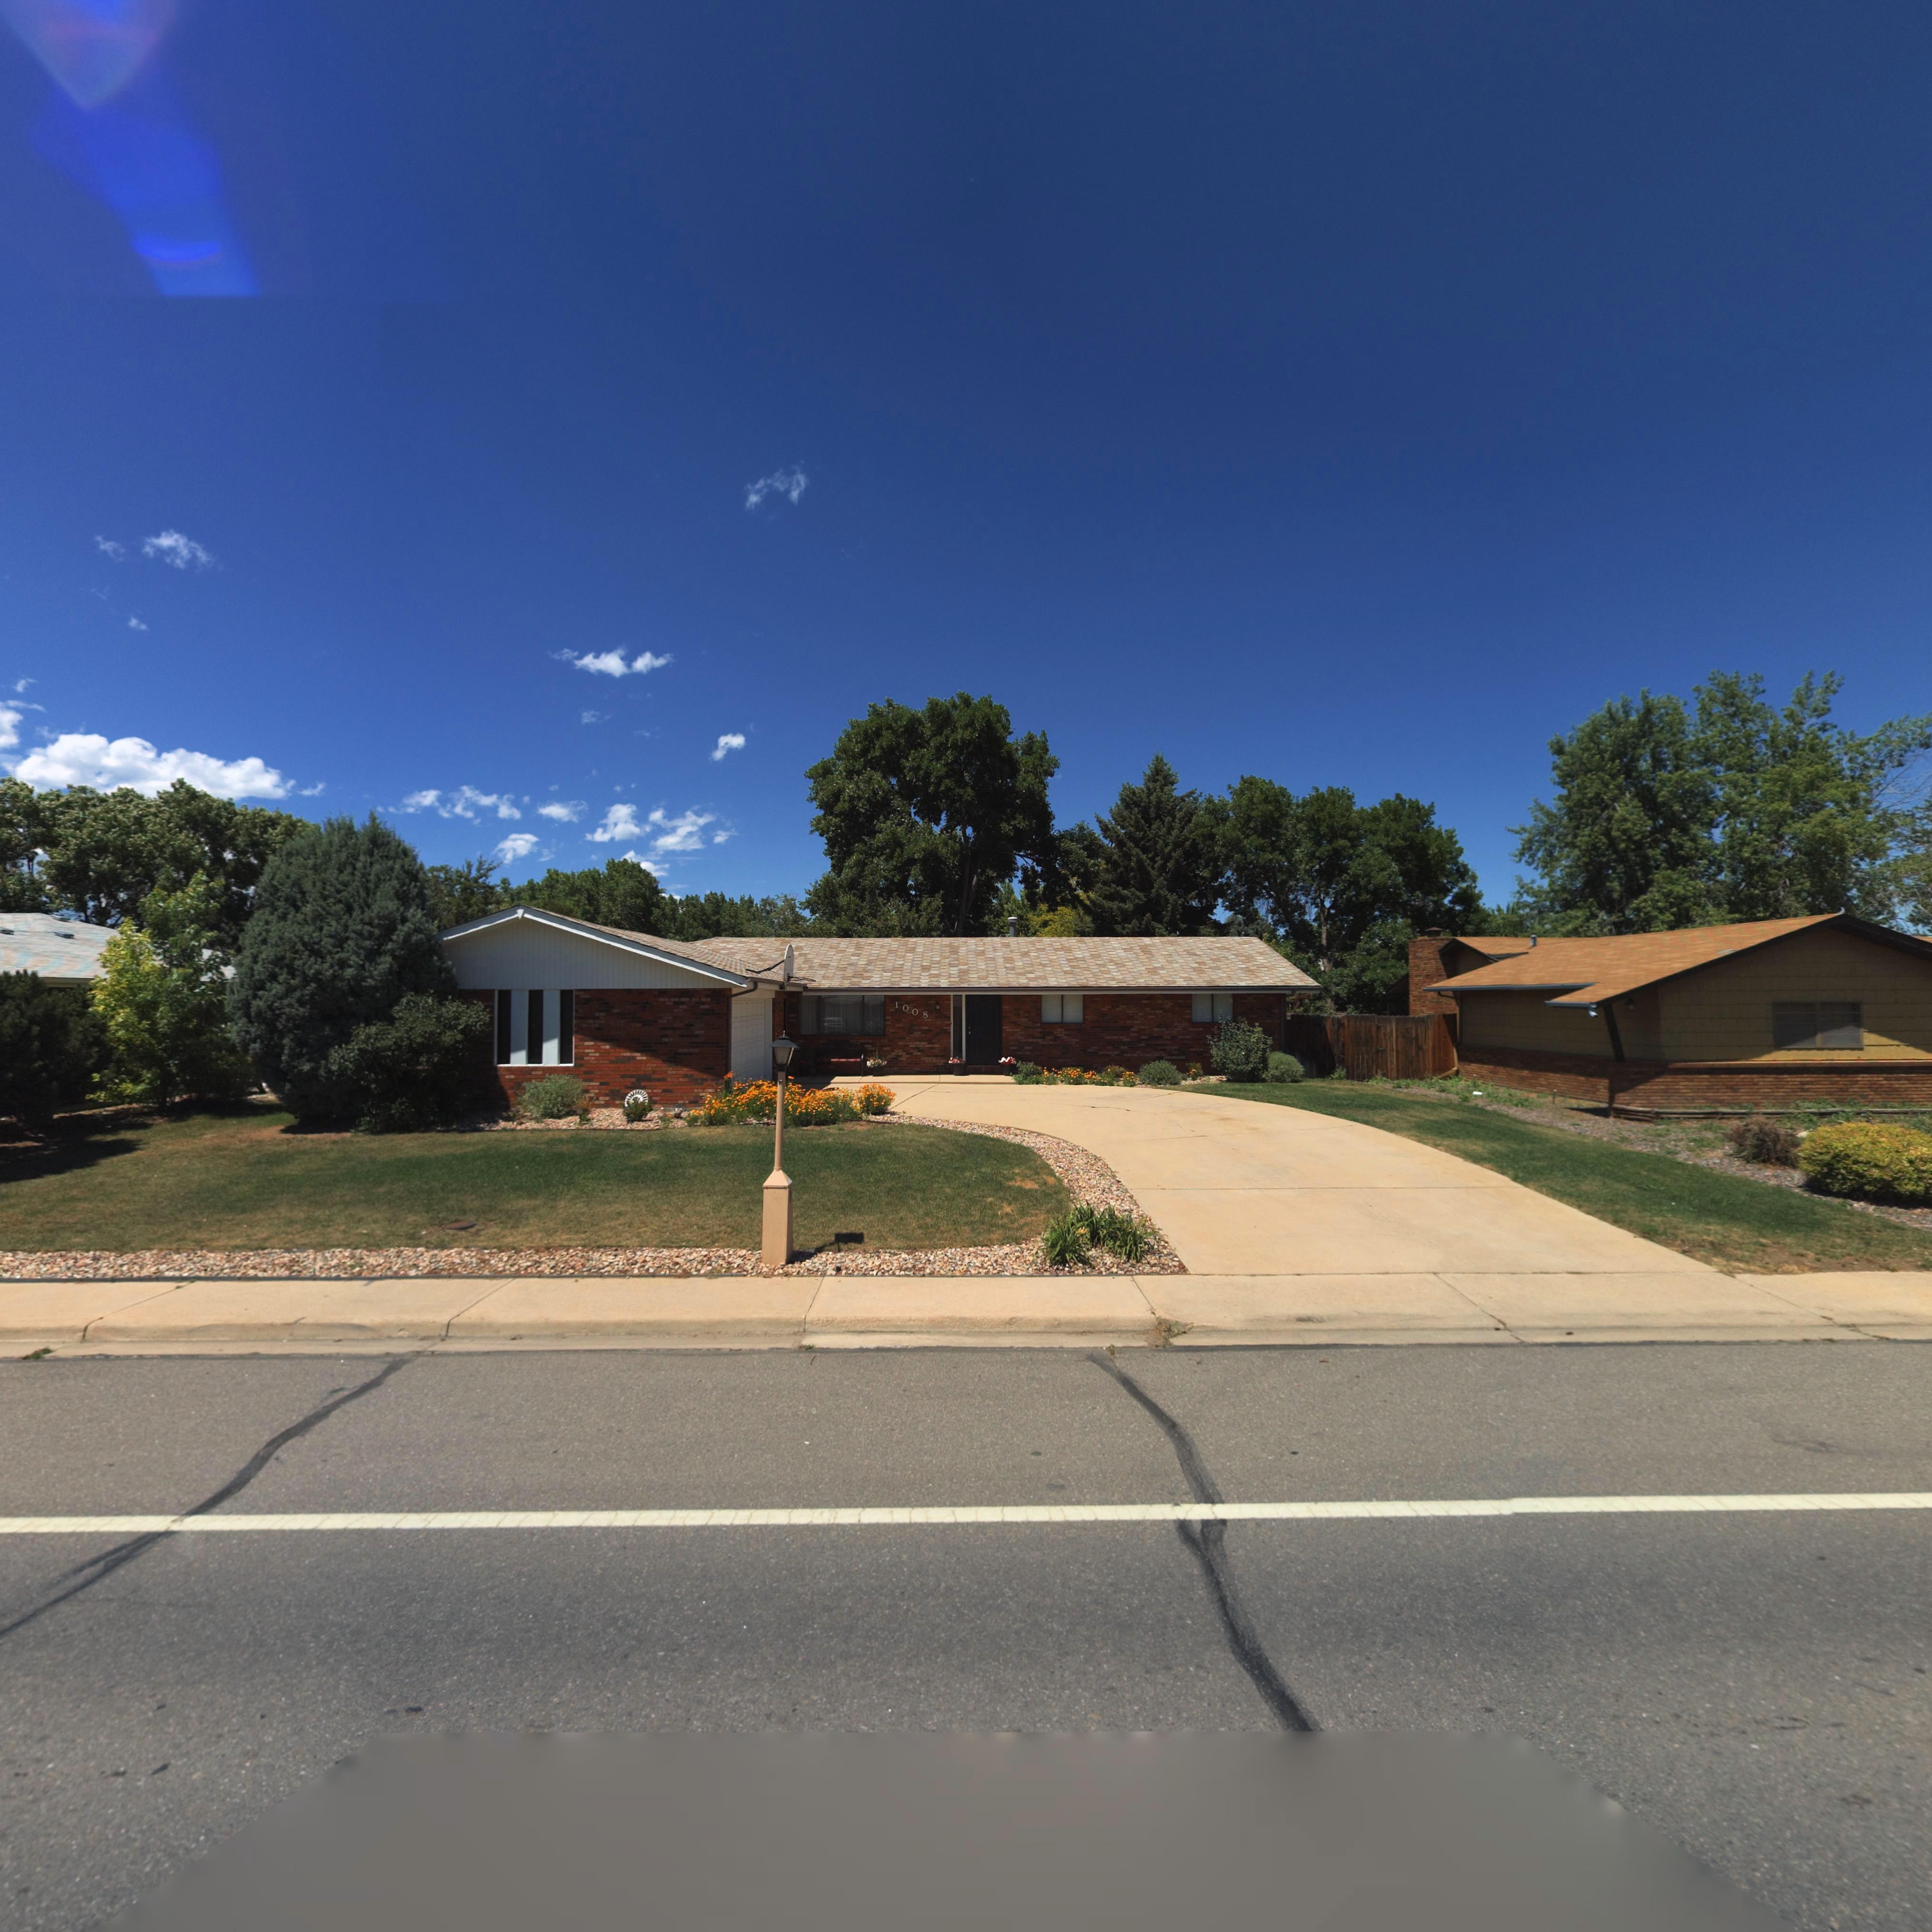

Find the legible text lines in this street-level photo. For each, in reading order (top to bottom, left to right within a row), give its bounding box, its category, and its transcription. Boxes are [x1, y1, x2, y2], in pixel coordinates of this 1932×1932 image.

[895, 1000, 928, 1019] StreetNumber: 1008